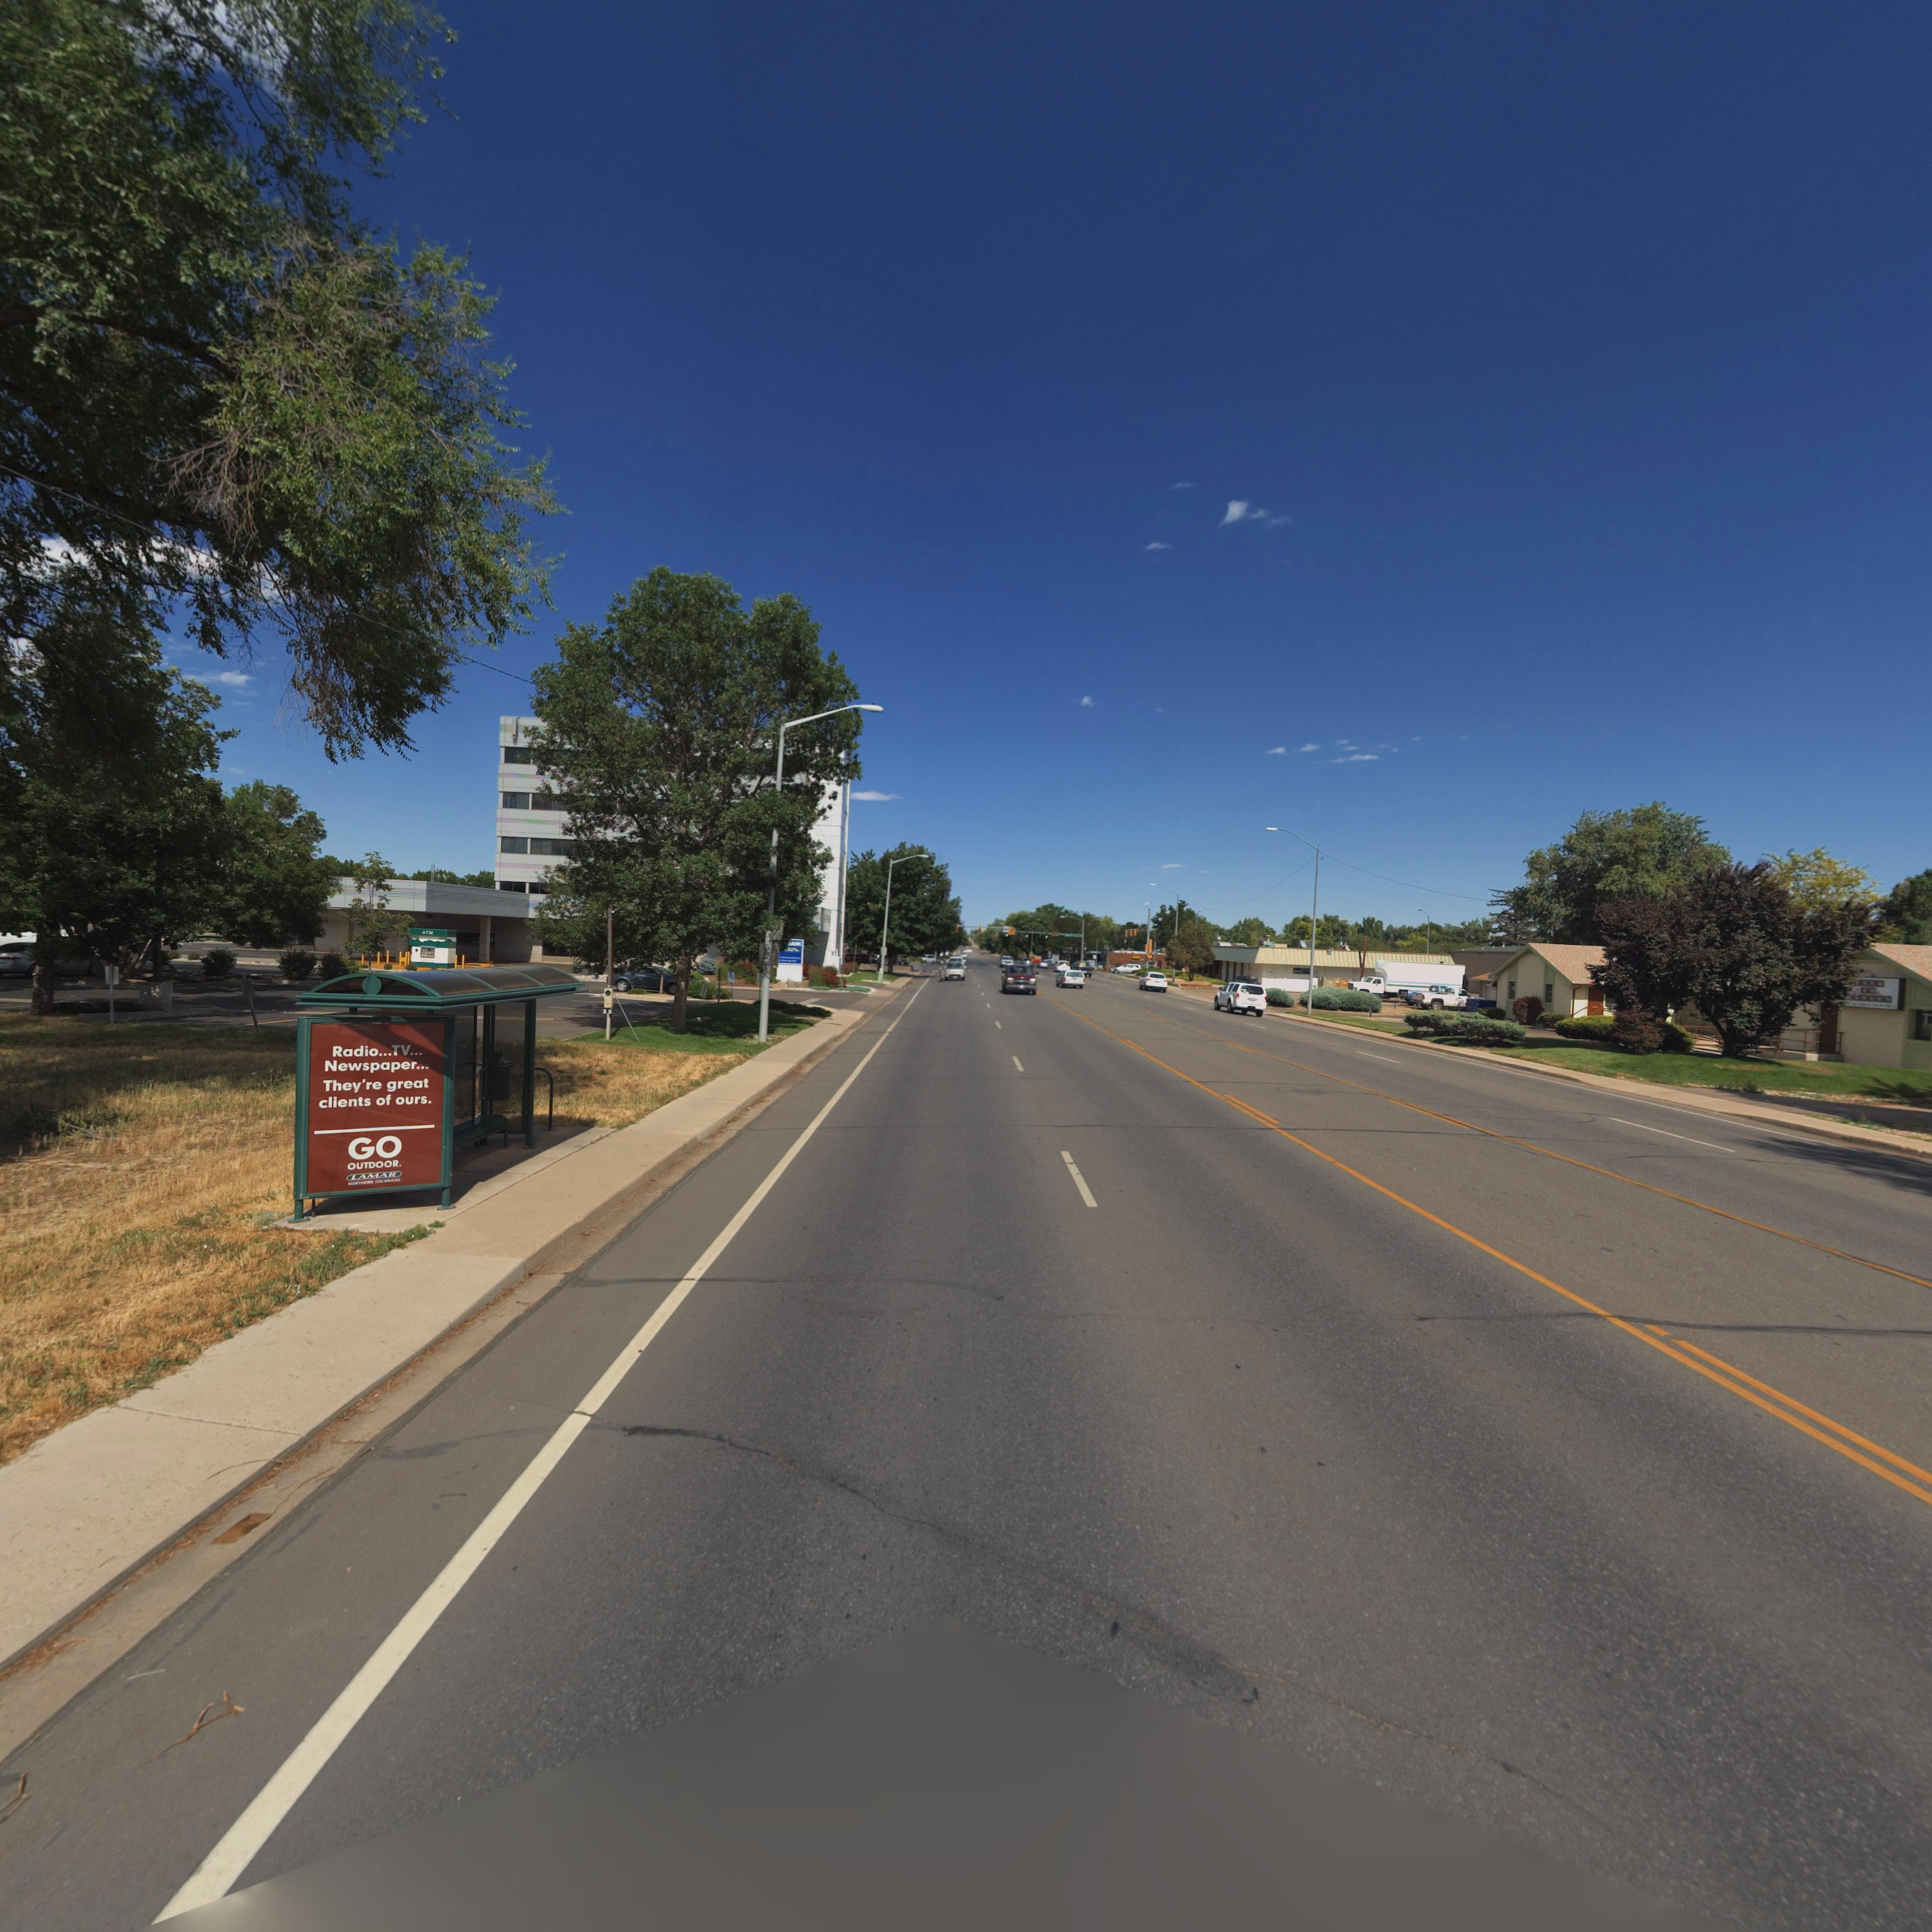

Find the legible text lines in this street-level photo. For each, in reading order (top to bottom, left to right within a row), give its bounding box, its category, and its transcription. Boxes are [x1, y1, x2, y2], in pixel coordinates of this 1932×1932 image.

[781, 940, 802, 947] BusinessName: ****AN*